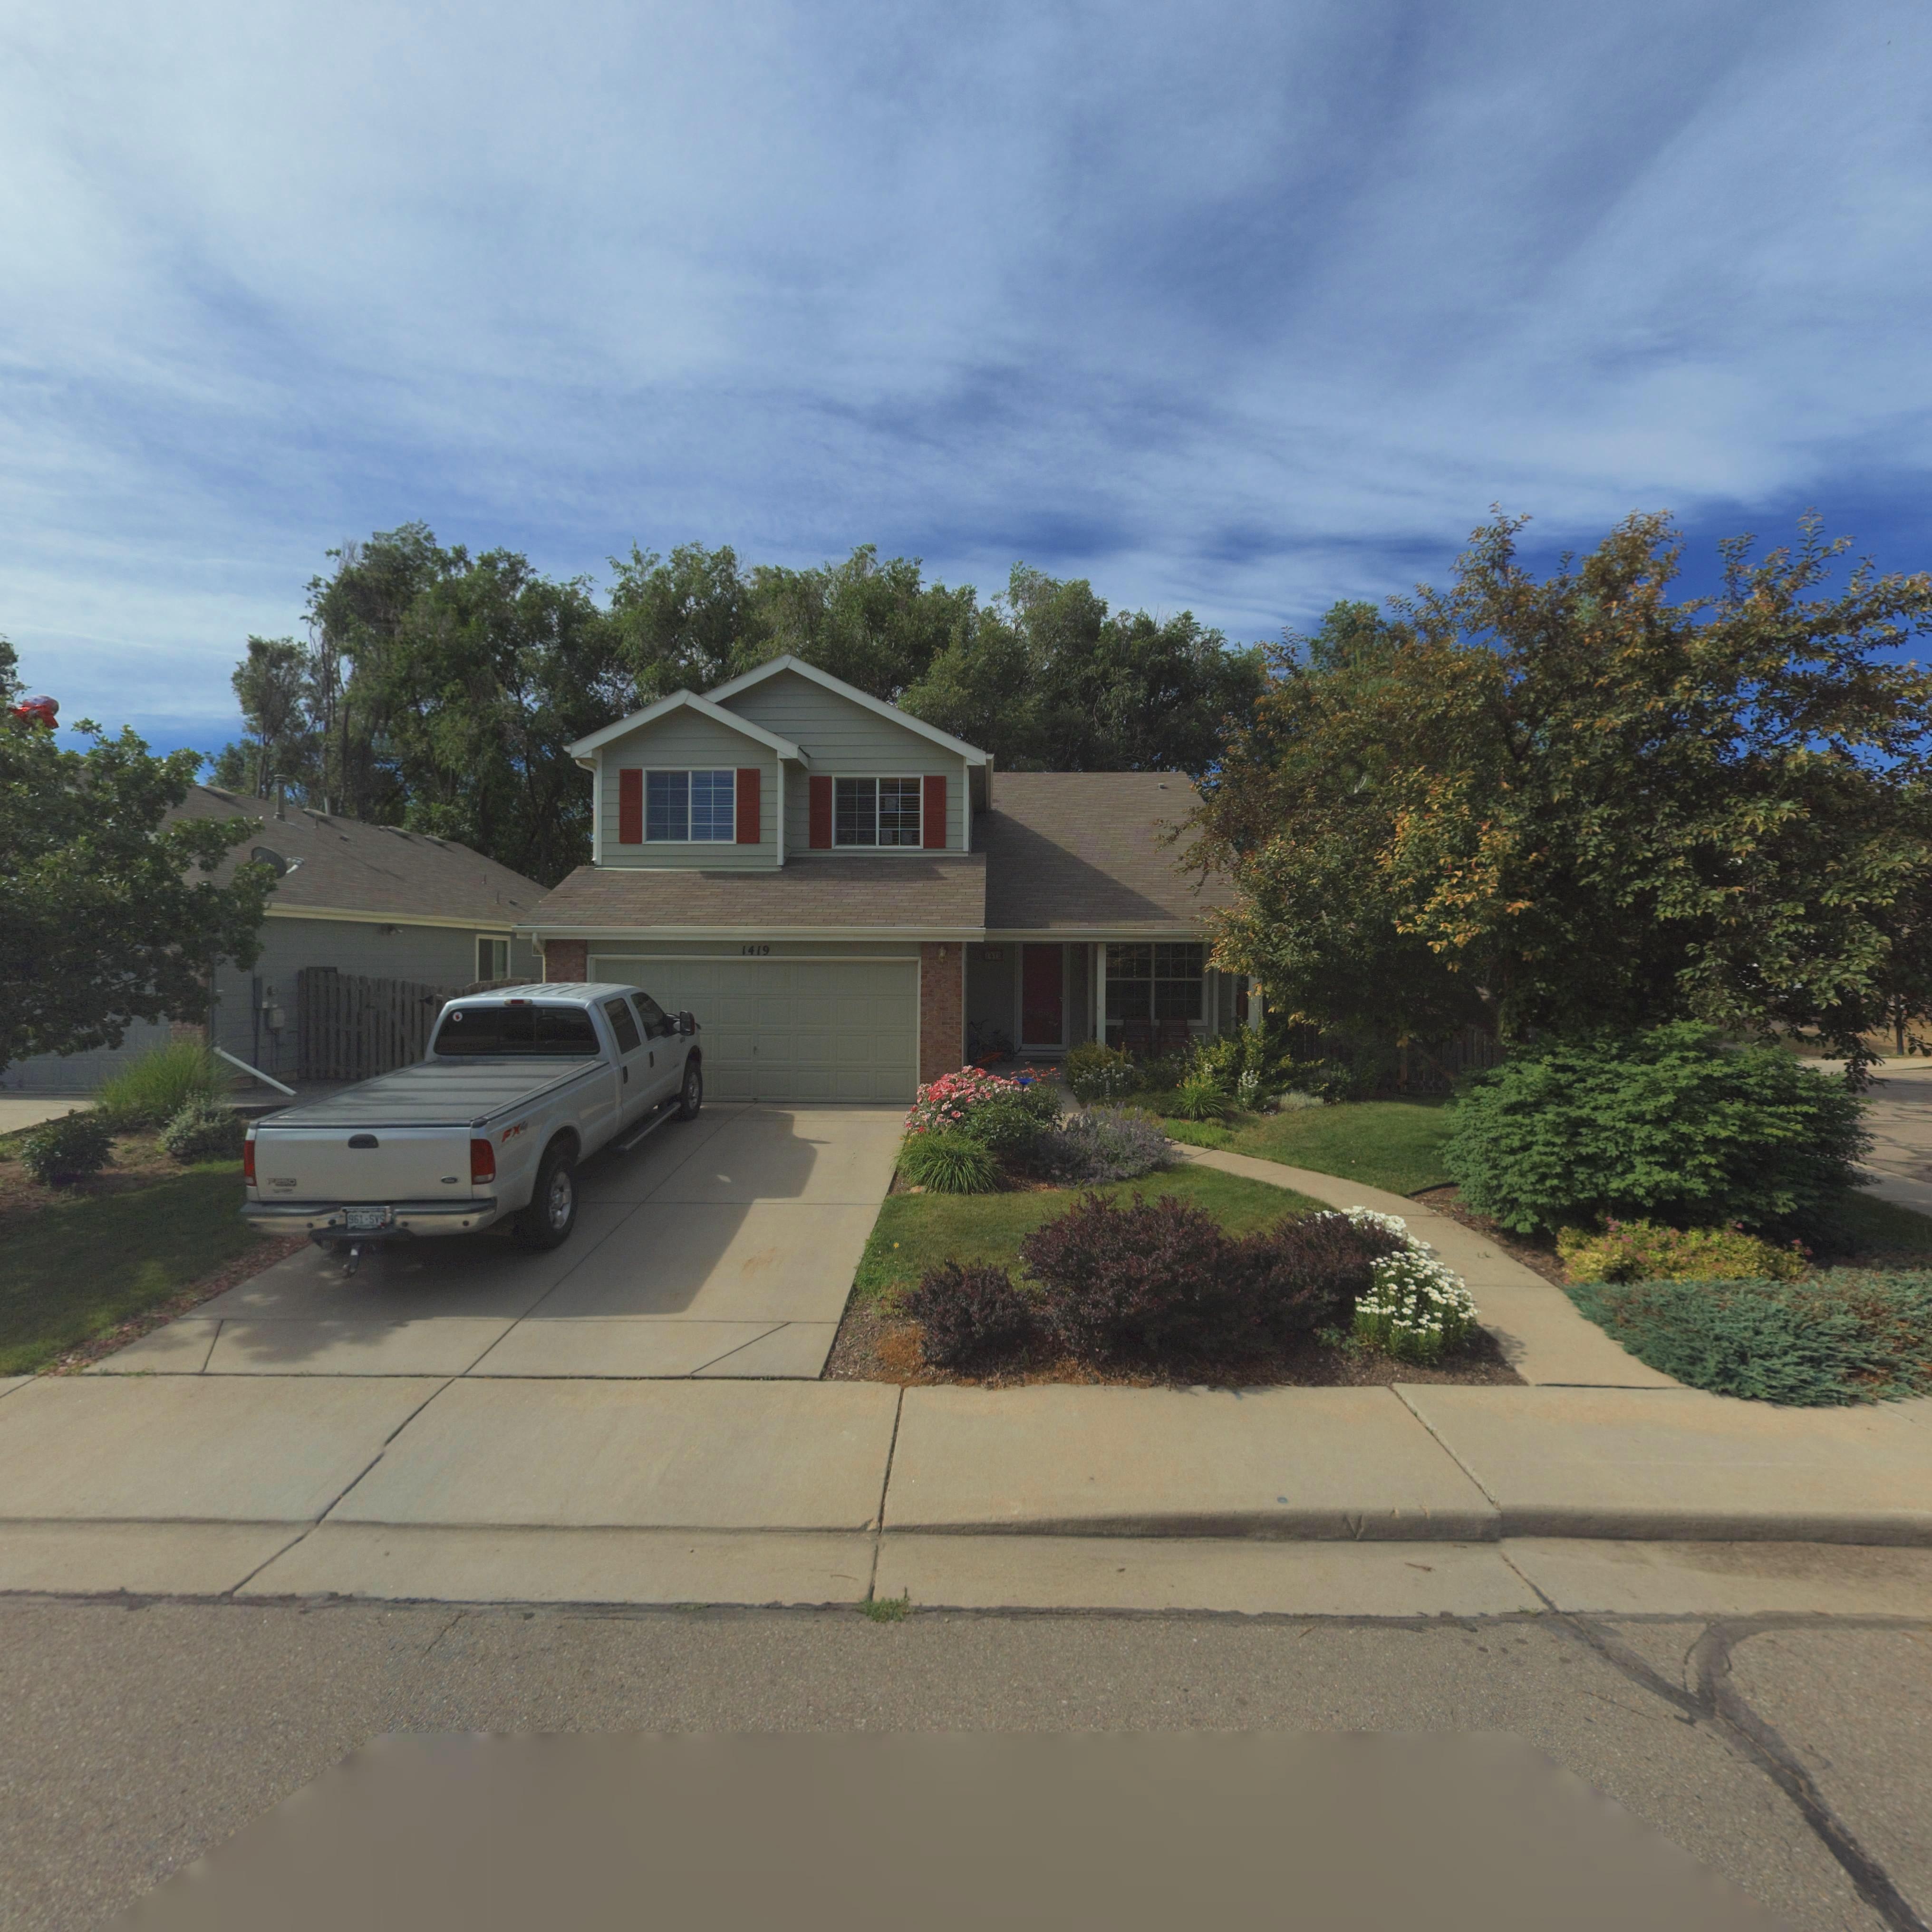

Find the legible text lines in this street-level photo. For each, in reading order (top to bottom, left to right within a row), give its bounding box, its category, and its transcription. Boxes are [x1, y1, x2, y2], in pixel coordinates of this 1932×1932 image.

[742, 945, 769, 956] StreetNumber: 1419
[985, 953, 1002, 959] StreetNumber: 1419